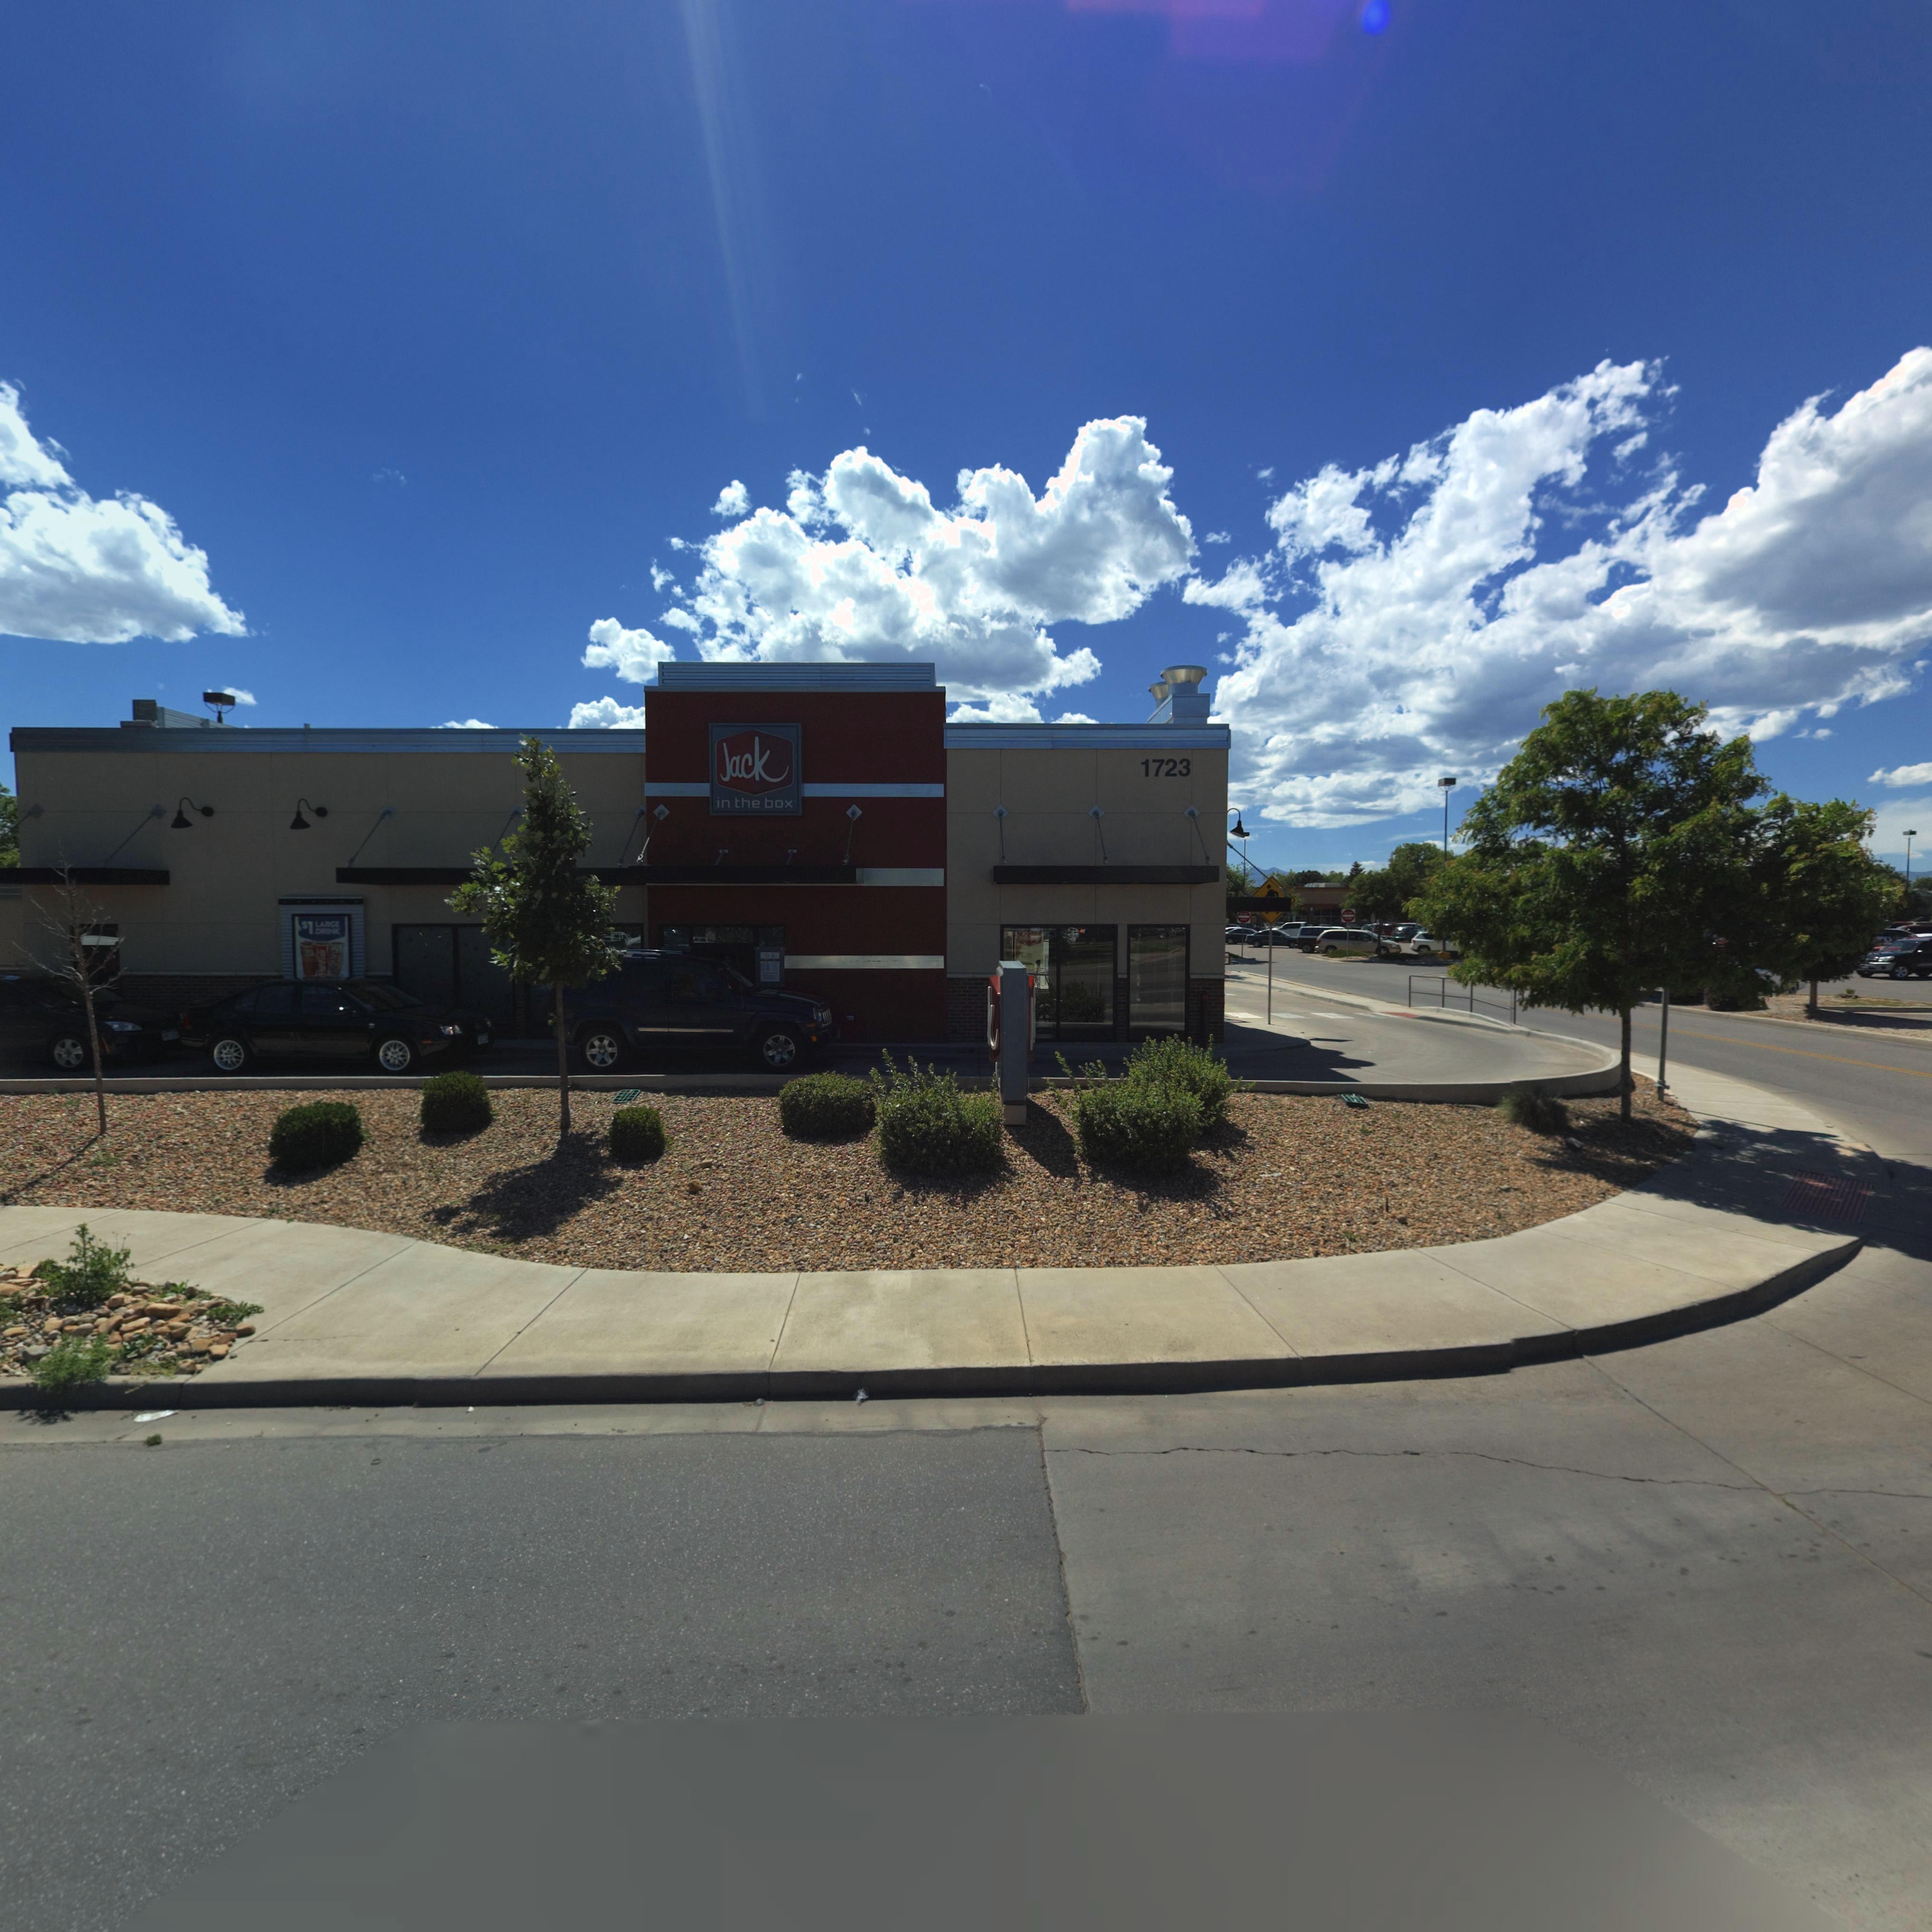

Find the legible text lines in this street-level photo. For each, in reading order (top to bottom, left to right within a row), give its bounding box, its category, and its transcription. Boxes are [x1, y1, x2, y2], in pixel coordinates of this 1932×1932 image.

[718, 734, 782, 783] BusinessName: Jack
[1140, 757, 1191, 777] StreetNumber: 1723
[716, 797, 793, 808] BusinessName: in the box
[987, 985, 998, 1052] BusinessName: k